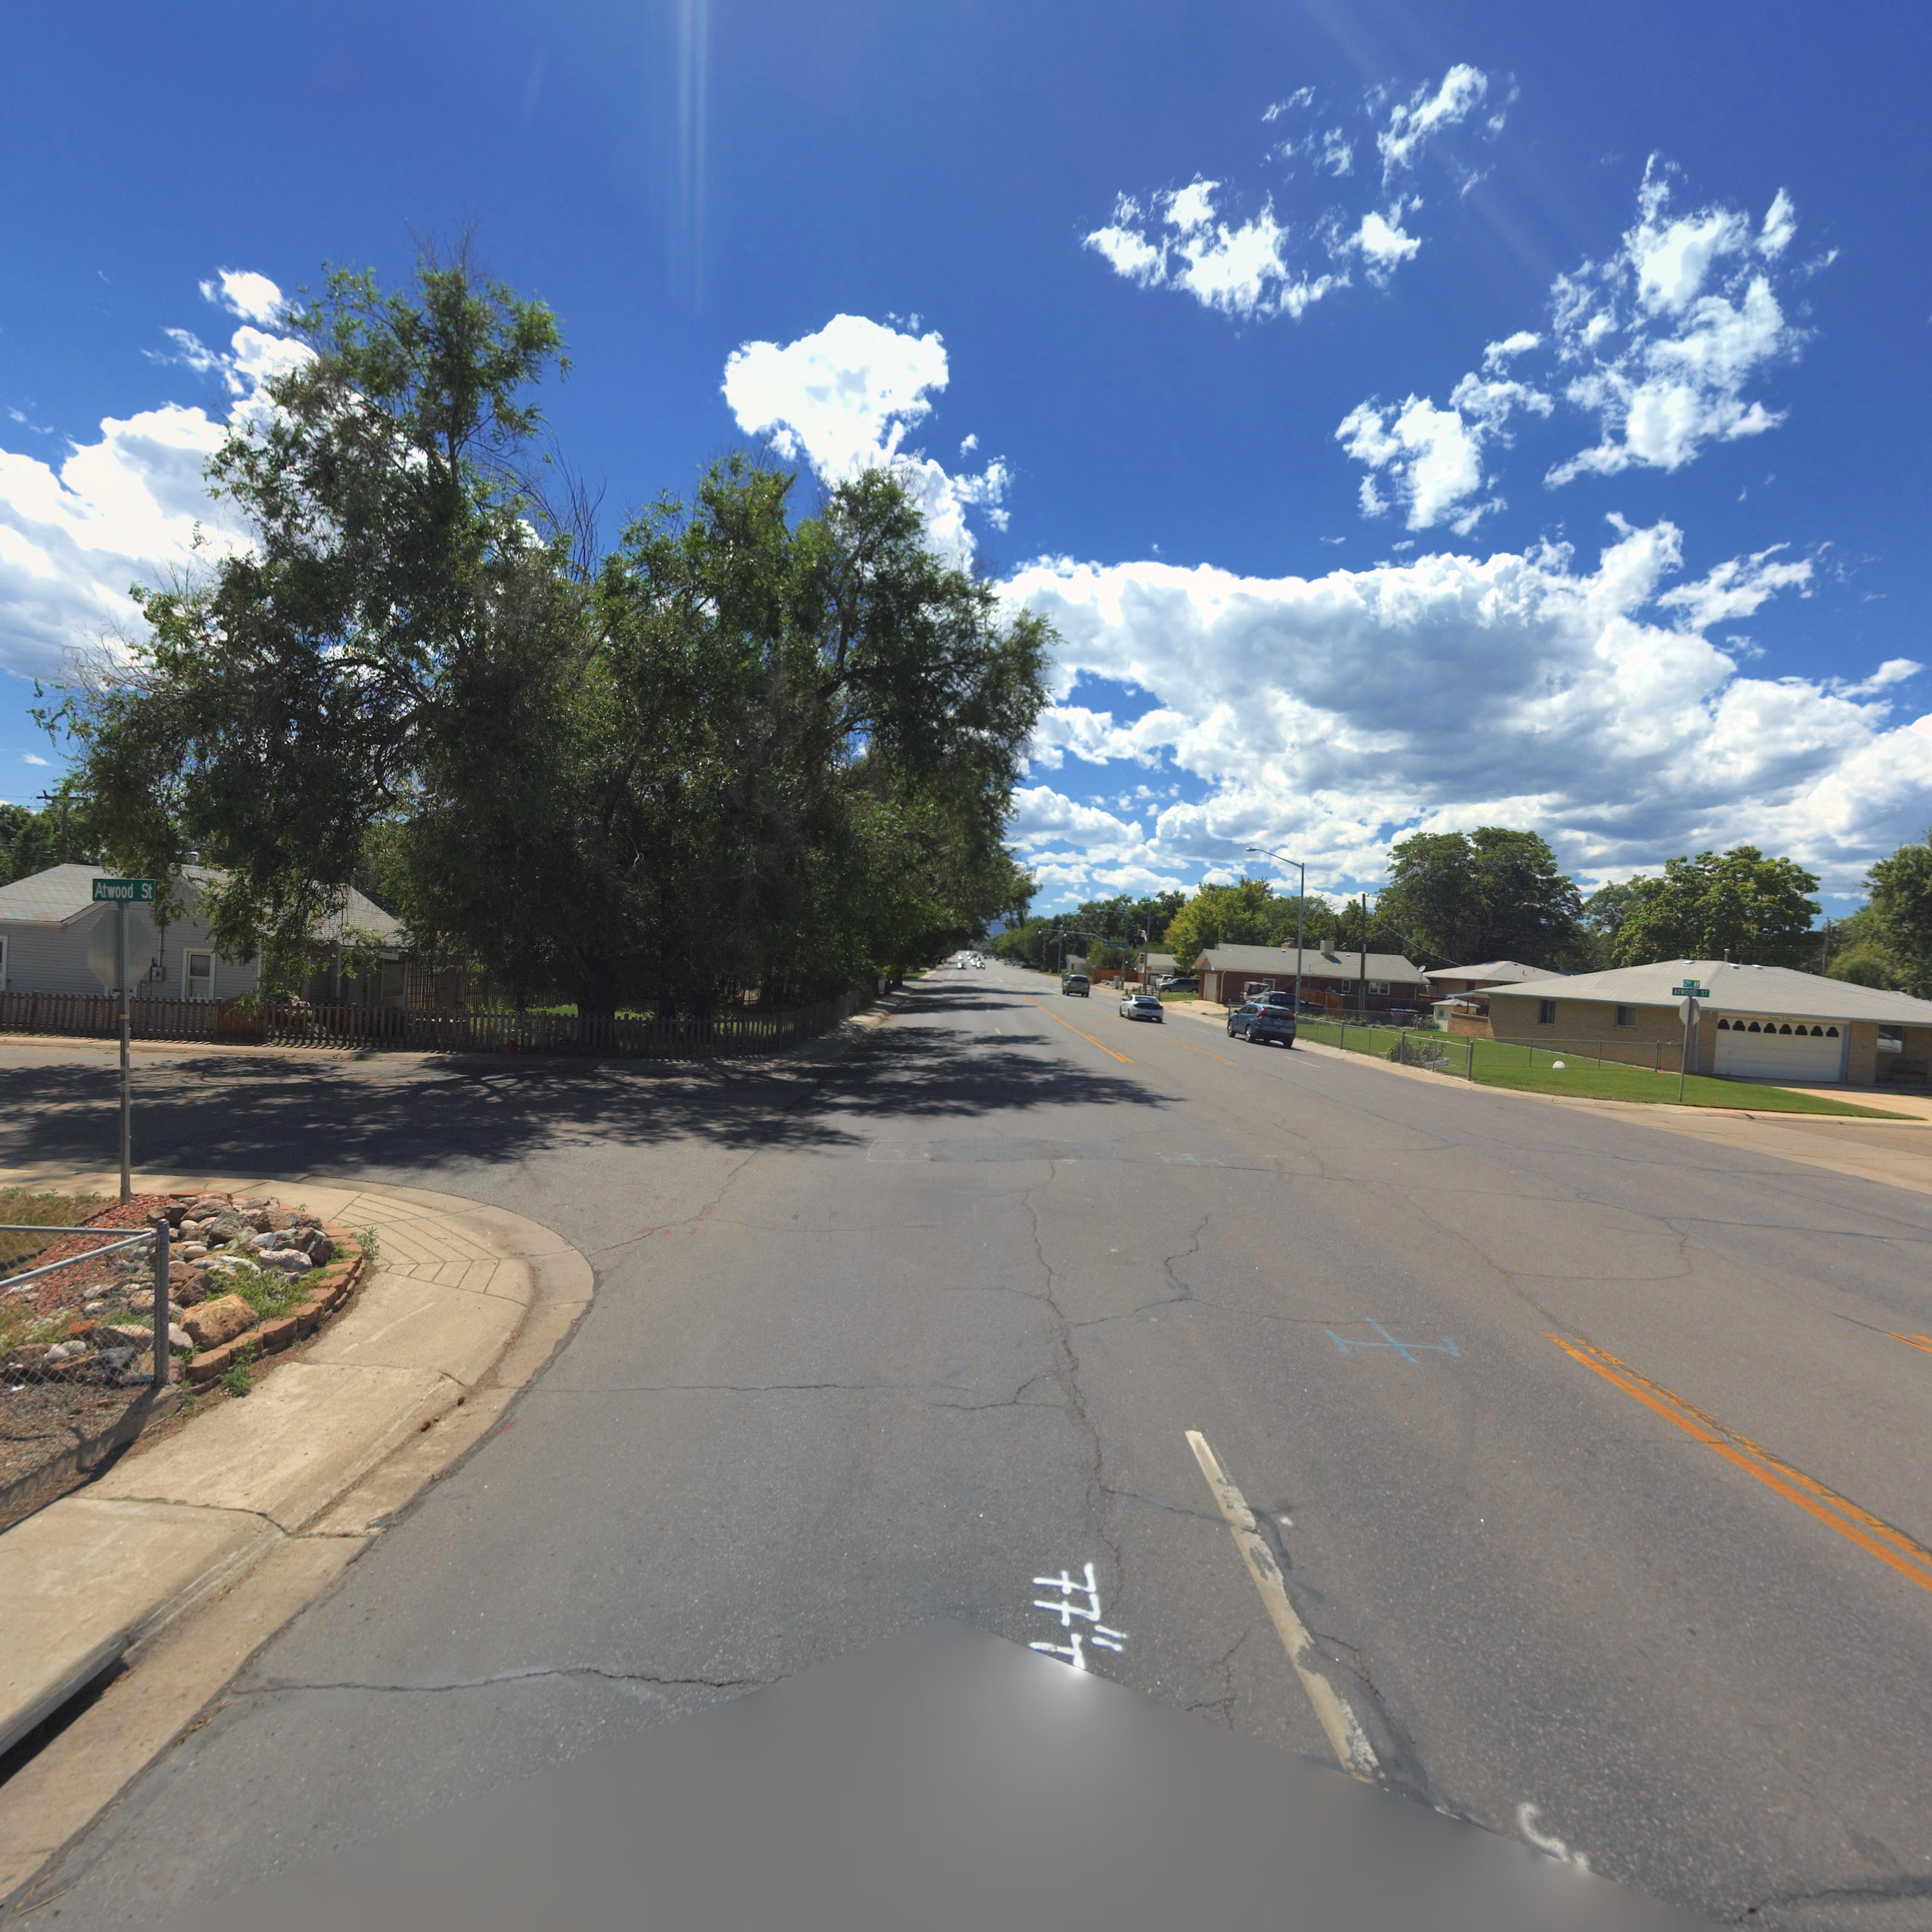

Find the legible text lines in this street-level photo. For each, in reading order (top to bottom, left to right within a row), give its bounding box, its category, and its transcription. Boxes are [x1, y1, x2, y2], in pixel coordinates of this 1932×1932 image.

[93, 881, 153, 899] StreetName: Atwood St
[1683, 980, 1699, 987] StreetName: 17** AV
[1673, 988, 1708, 996] StreetName: ATWOOD ST